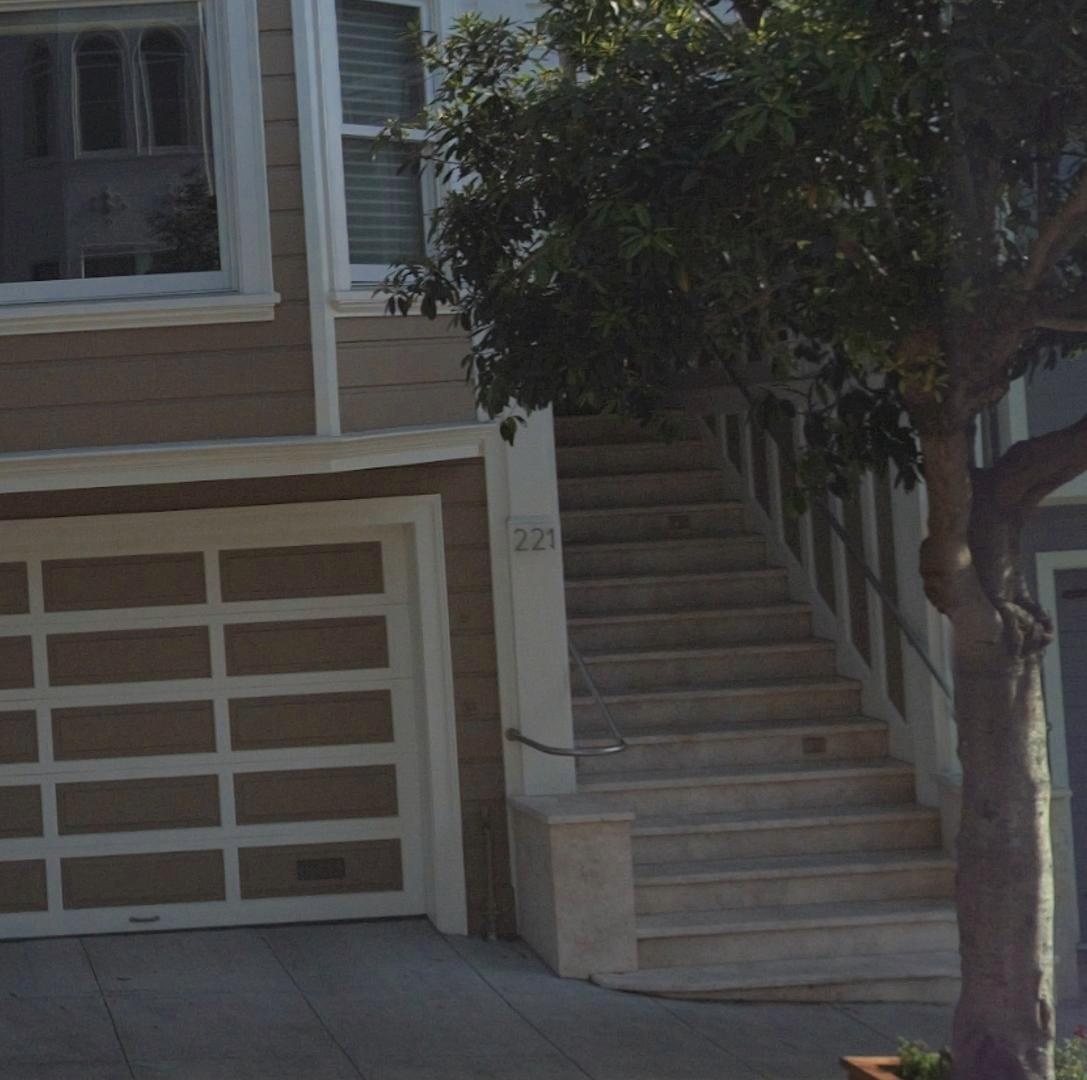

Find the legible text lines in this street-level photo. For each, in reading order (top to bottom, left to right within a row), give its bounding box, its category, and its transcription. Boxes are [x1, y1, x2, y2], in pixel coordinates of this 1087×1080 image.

[511, 524, 558, 553] StreetNumber: 221